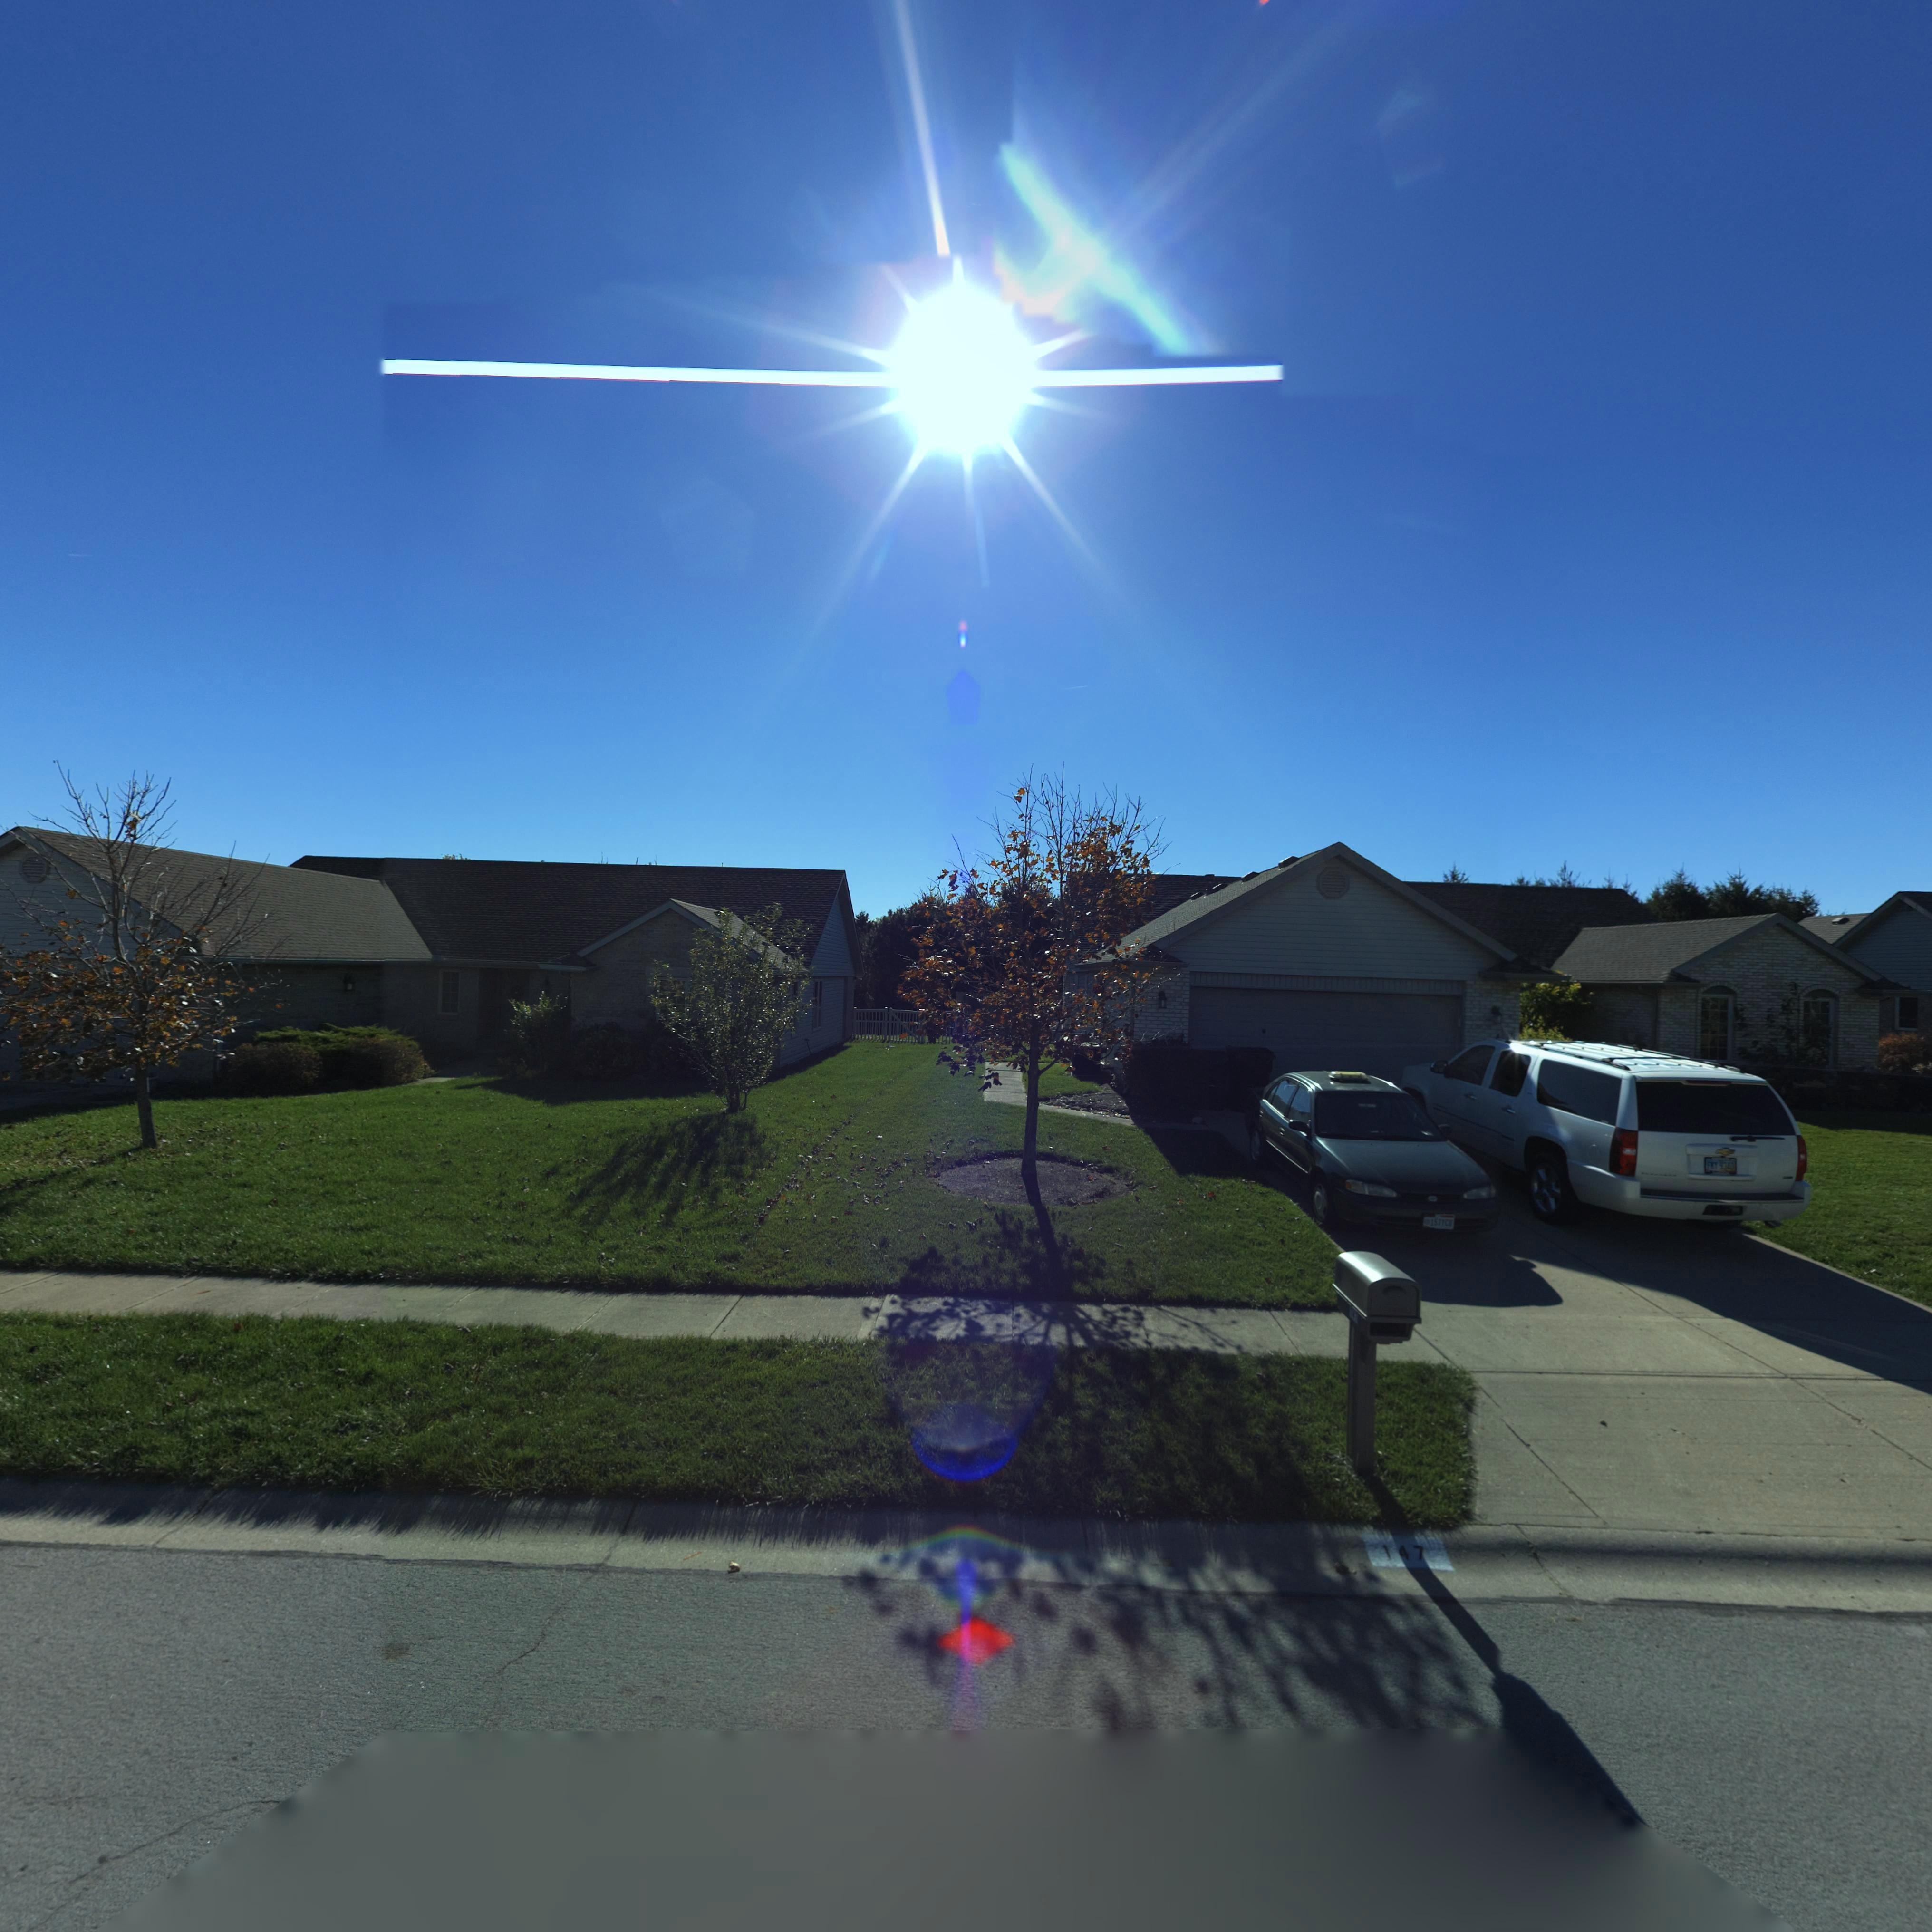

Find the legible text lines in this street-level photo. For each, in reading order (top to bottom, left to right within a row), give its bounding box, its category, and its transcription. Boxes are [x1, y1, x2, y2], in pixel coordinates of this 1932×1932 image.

[1380, 1543, 1426, 1562] StreetNumber: 147